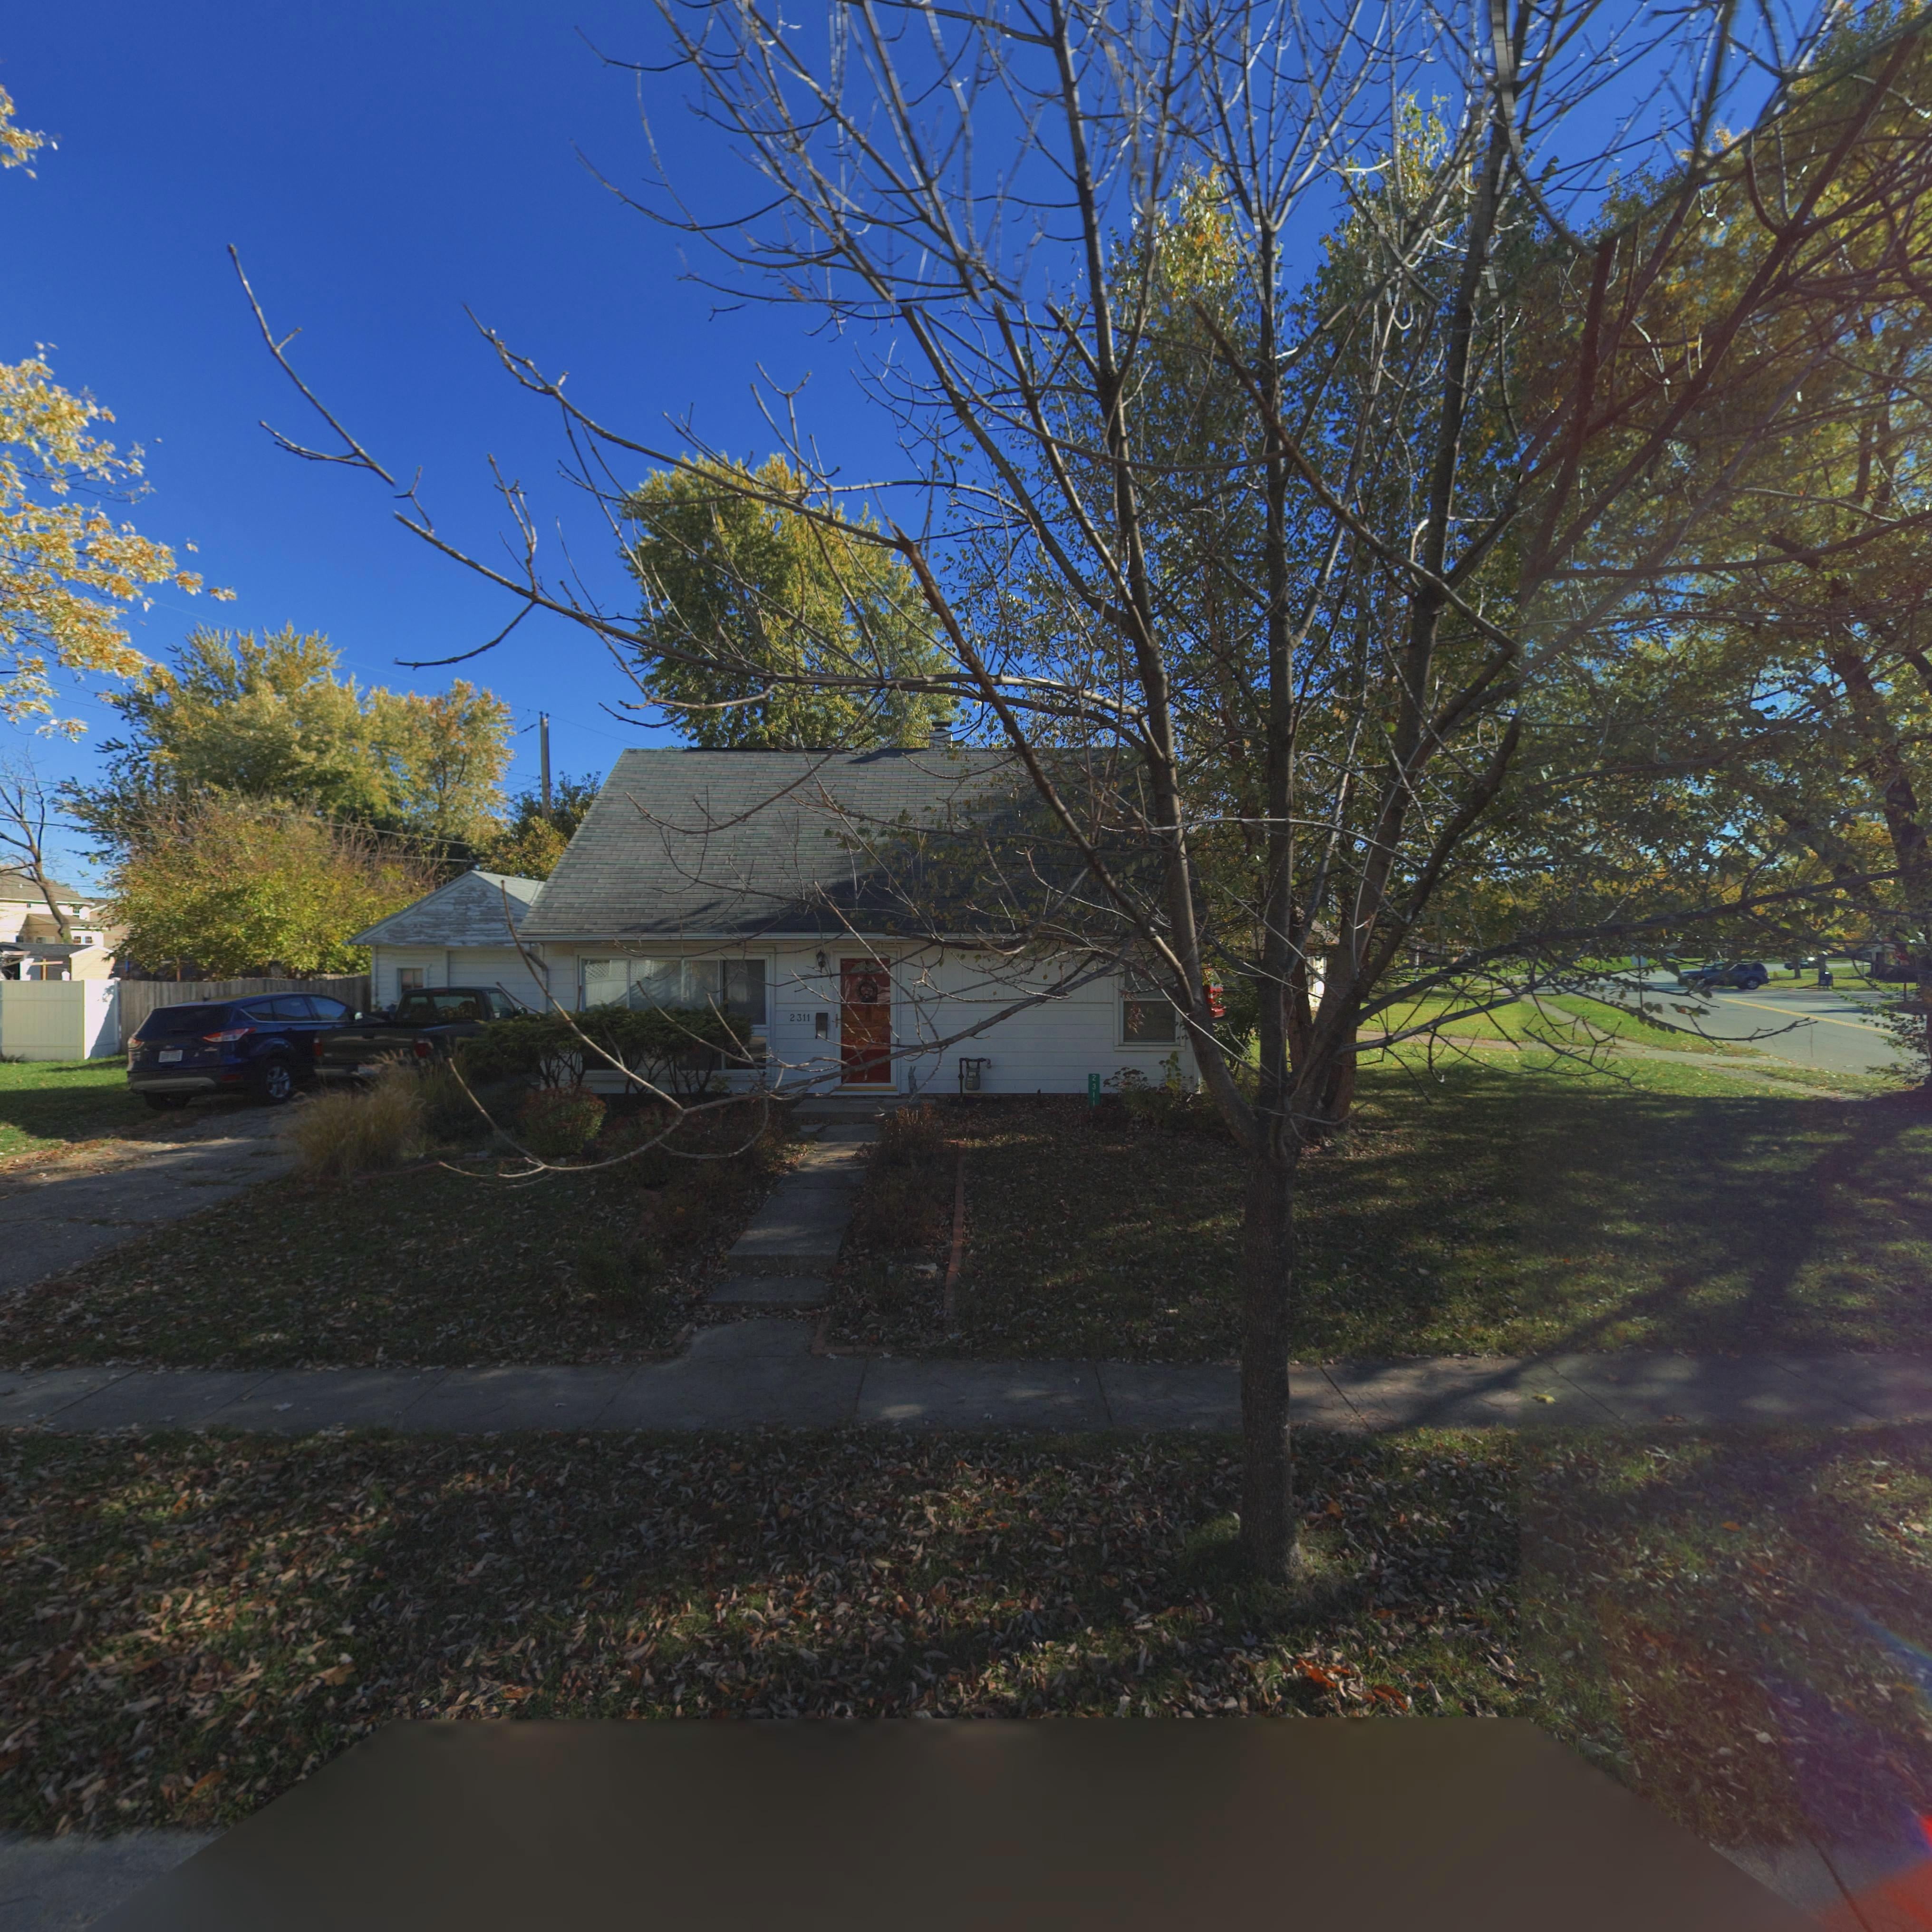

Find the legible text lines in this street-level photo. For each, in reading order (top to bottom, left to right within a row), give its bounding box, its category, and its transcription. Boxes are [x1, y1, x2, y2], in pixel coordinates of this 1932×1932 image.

[789, 1013, 810, 1022] StreetNumber: 2311
[1091, 1074, 1097, 1107] StreetNumber: 2311